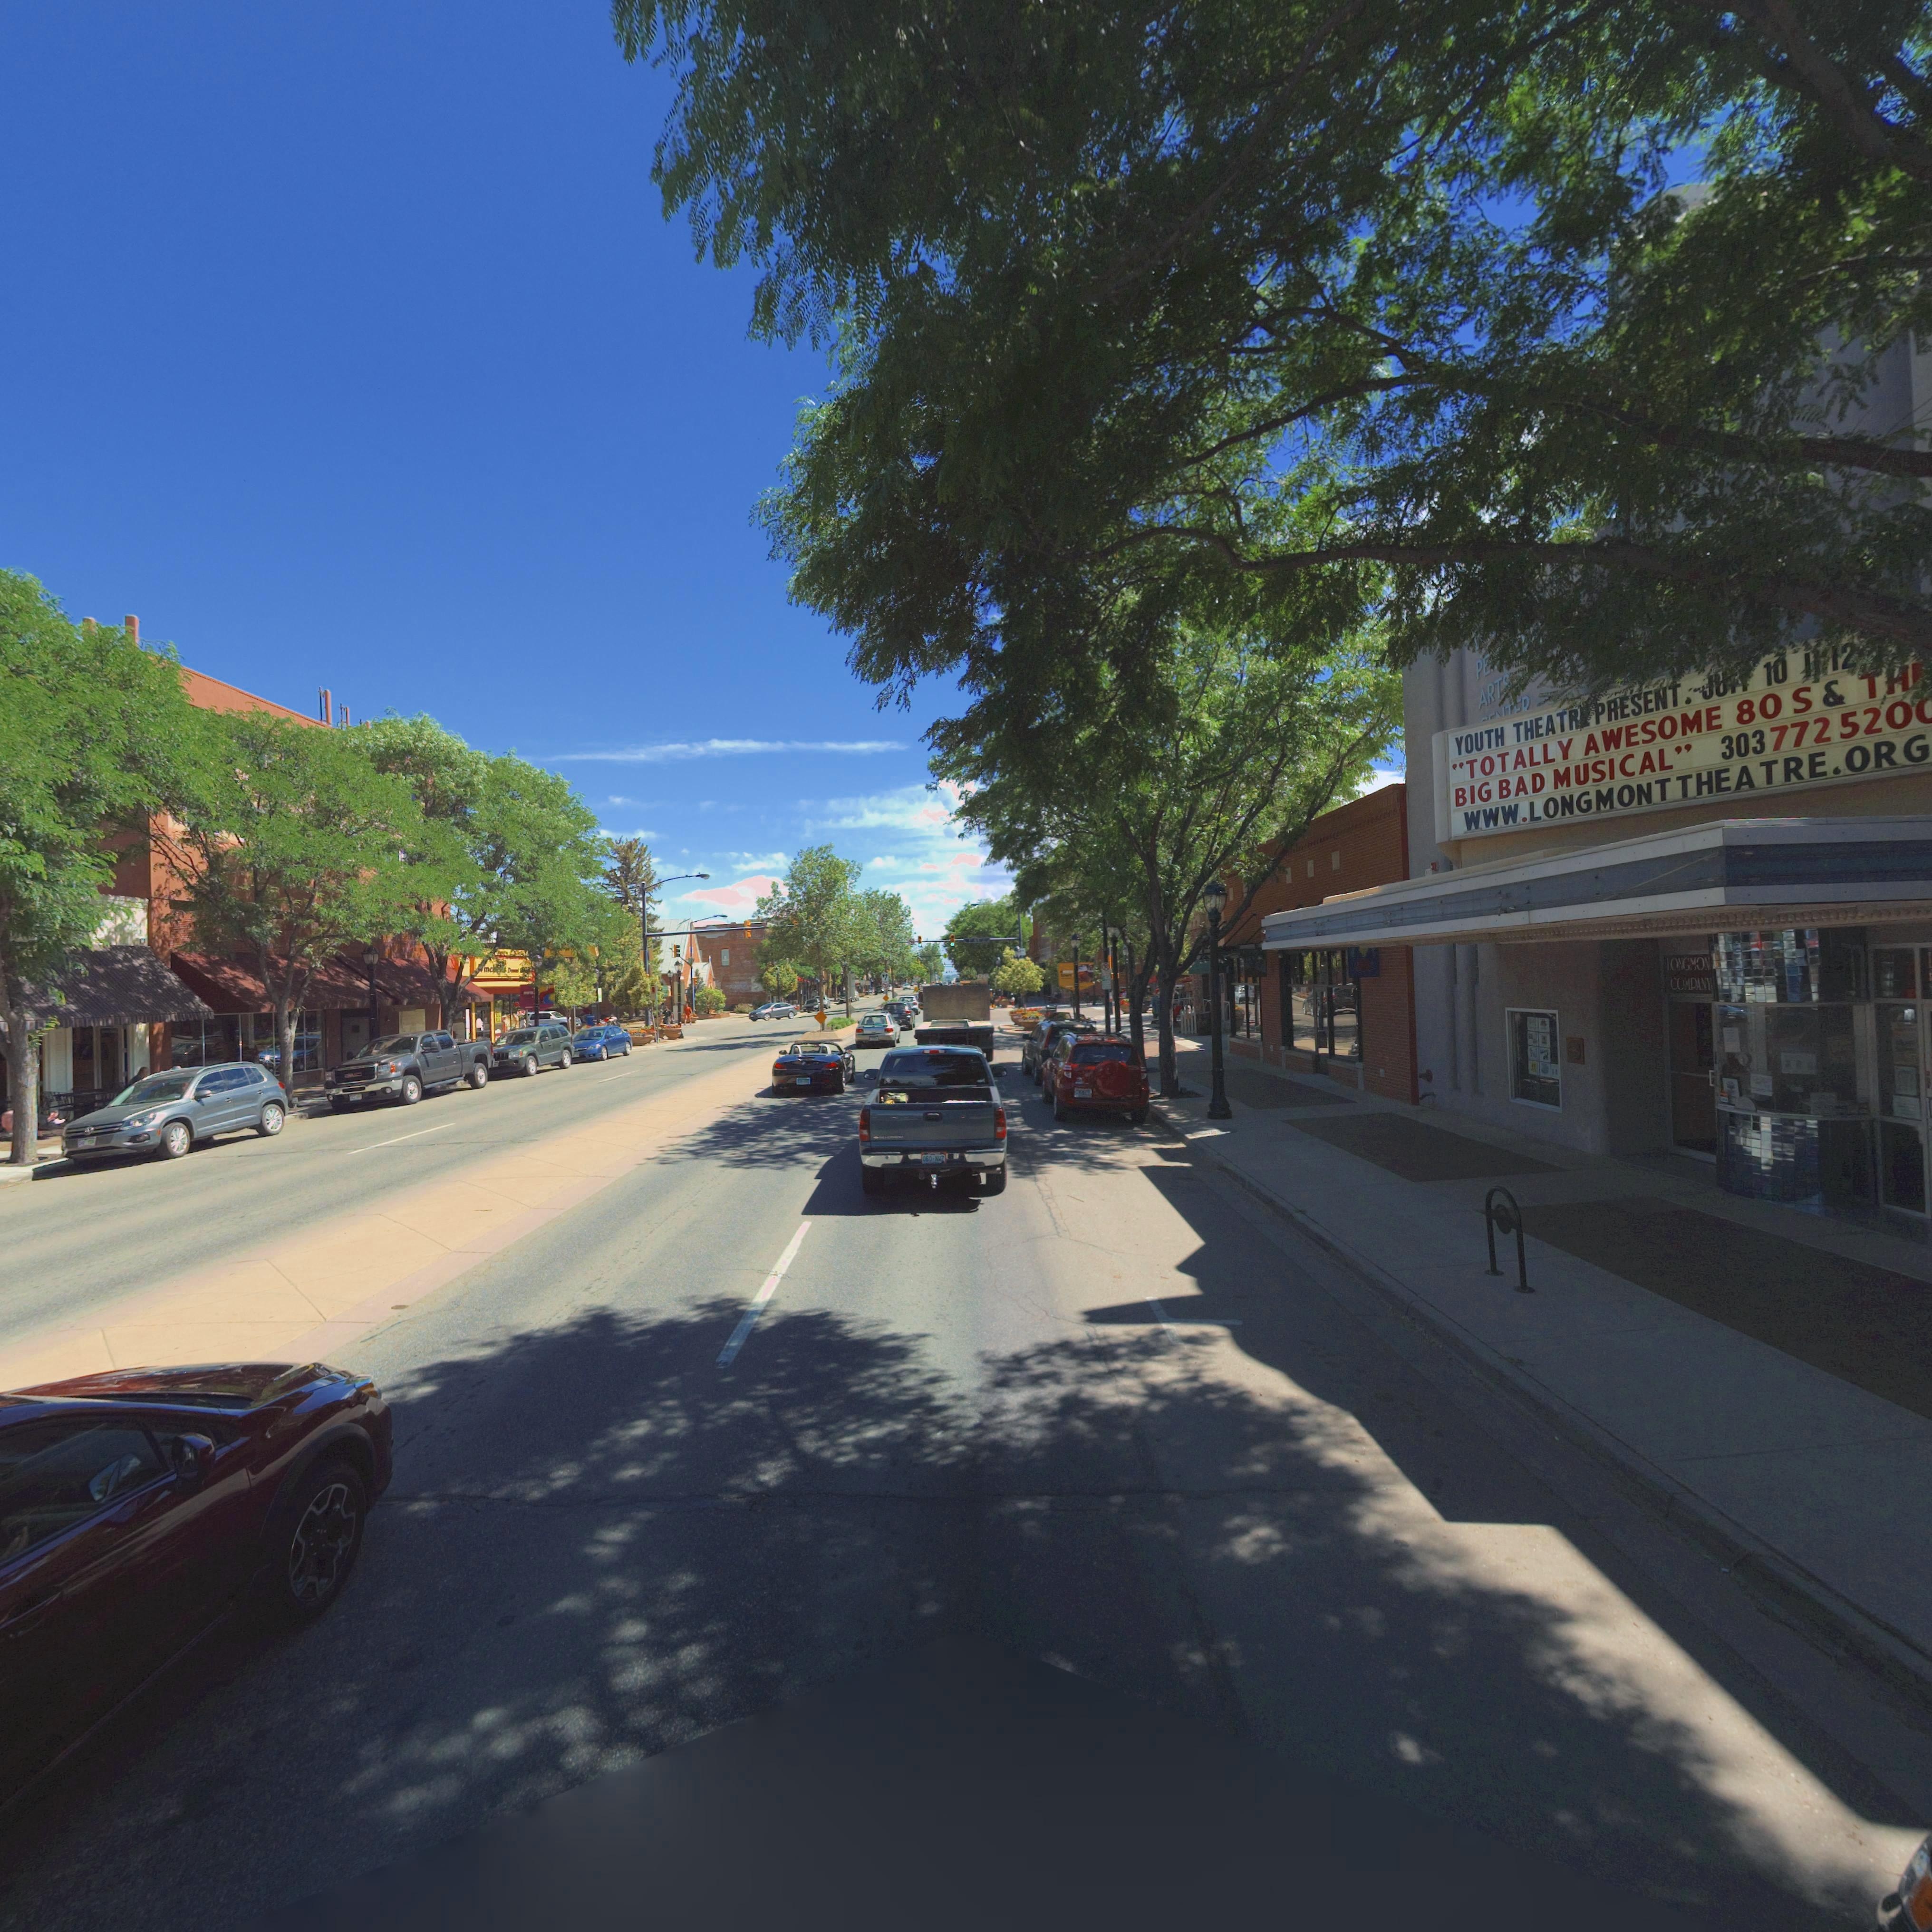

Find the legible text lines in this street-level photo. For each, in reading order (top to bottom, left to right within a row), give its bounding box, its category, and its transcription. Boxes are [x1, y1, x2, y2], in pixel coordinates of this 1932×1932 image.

[1476, 651, 1491, 680] BusinessName: P*
[1478, 676, 1503, 710] BusinessName: ART
[483, 966, 493, 972] BusinessName: mc
[1666, 957, 1711, 970] BusinessName: *O*G*O*
[1670, 977, 1711, 990] BusinessName: CO**AN*